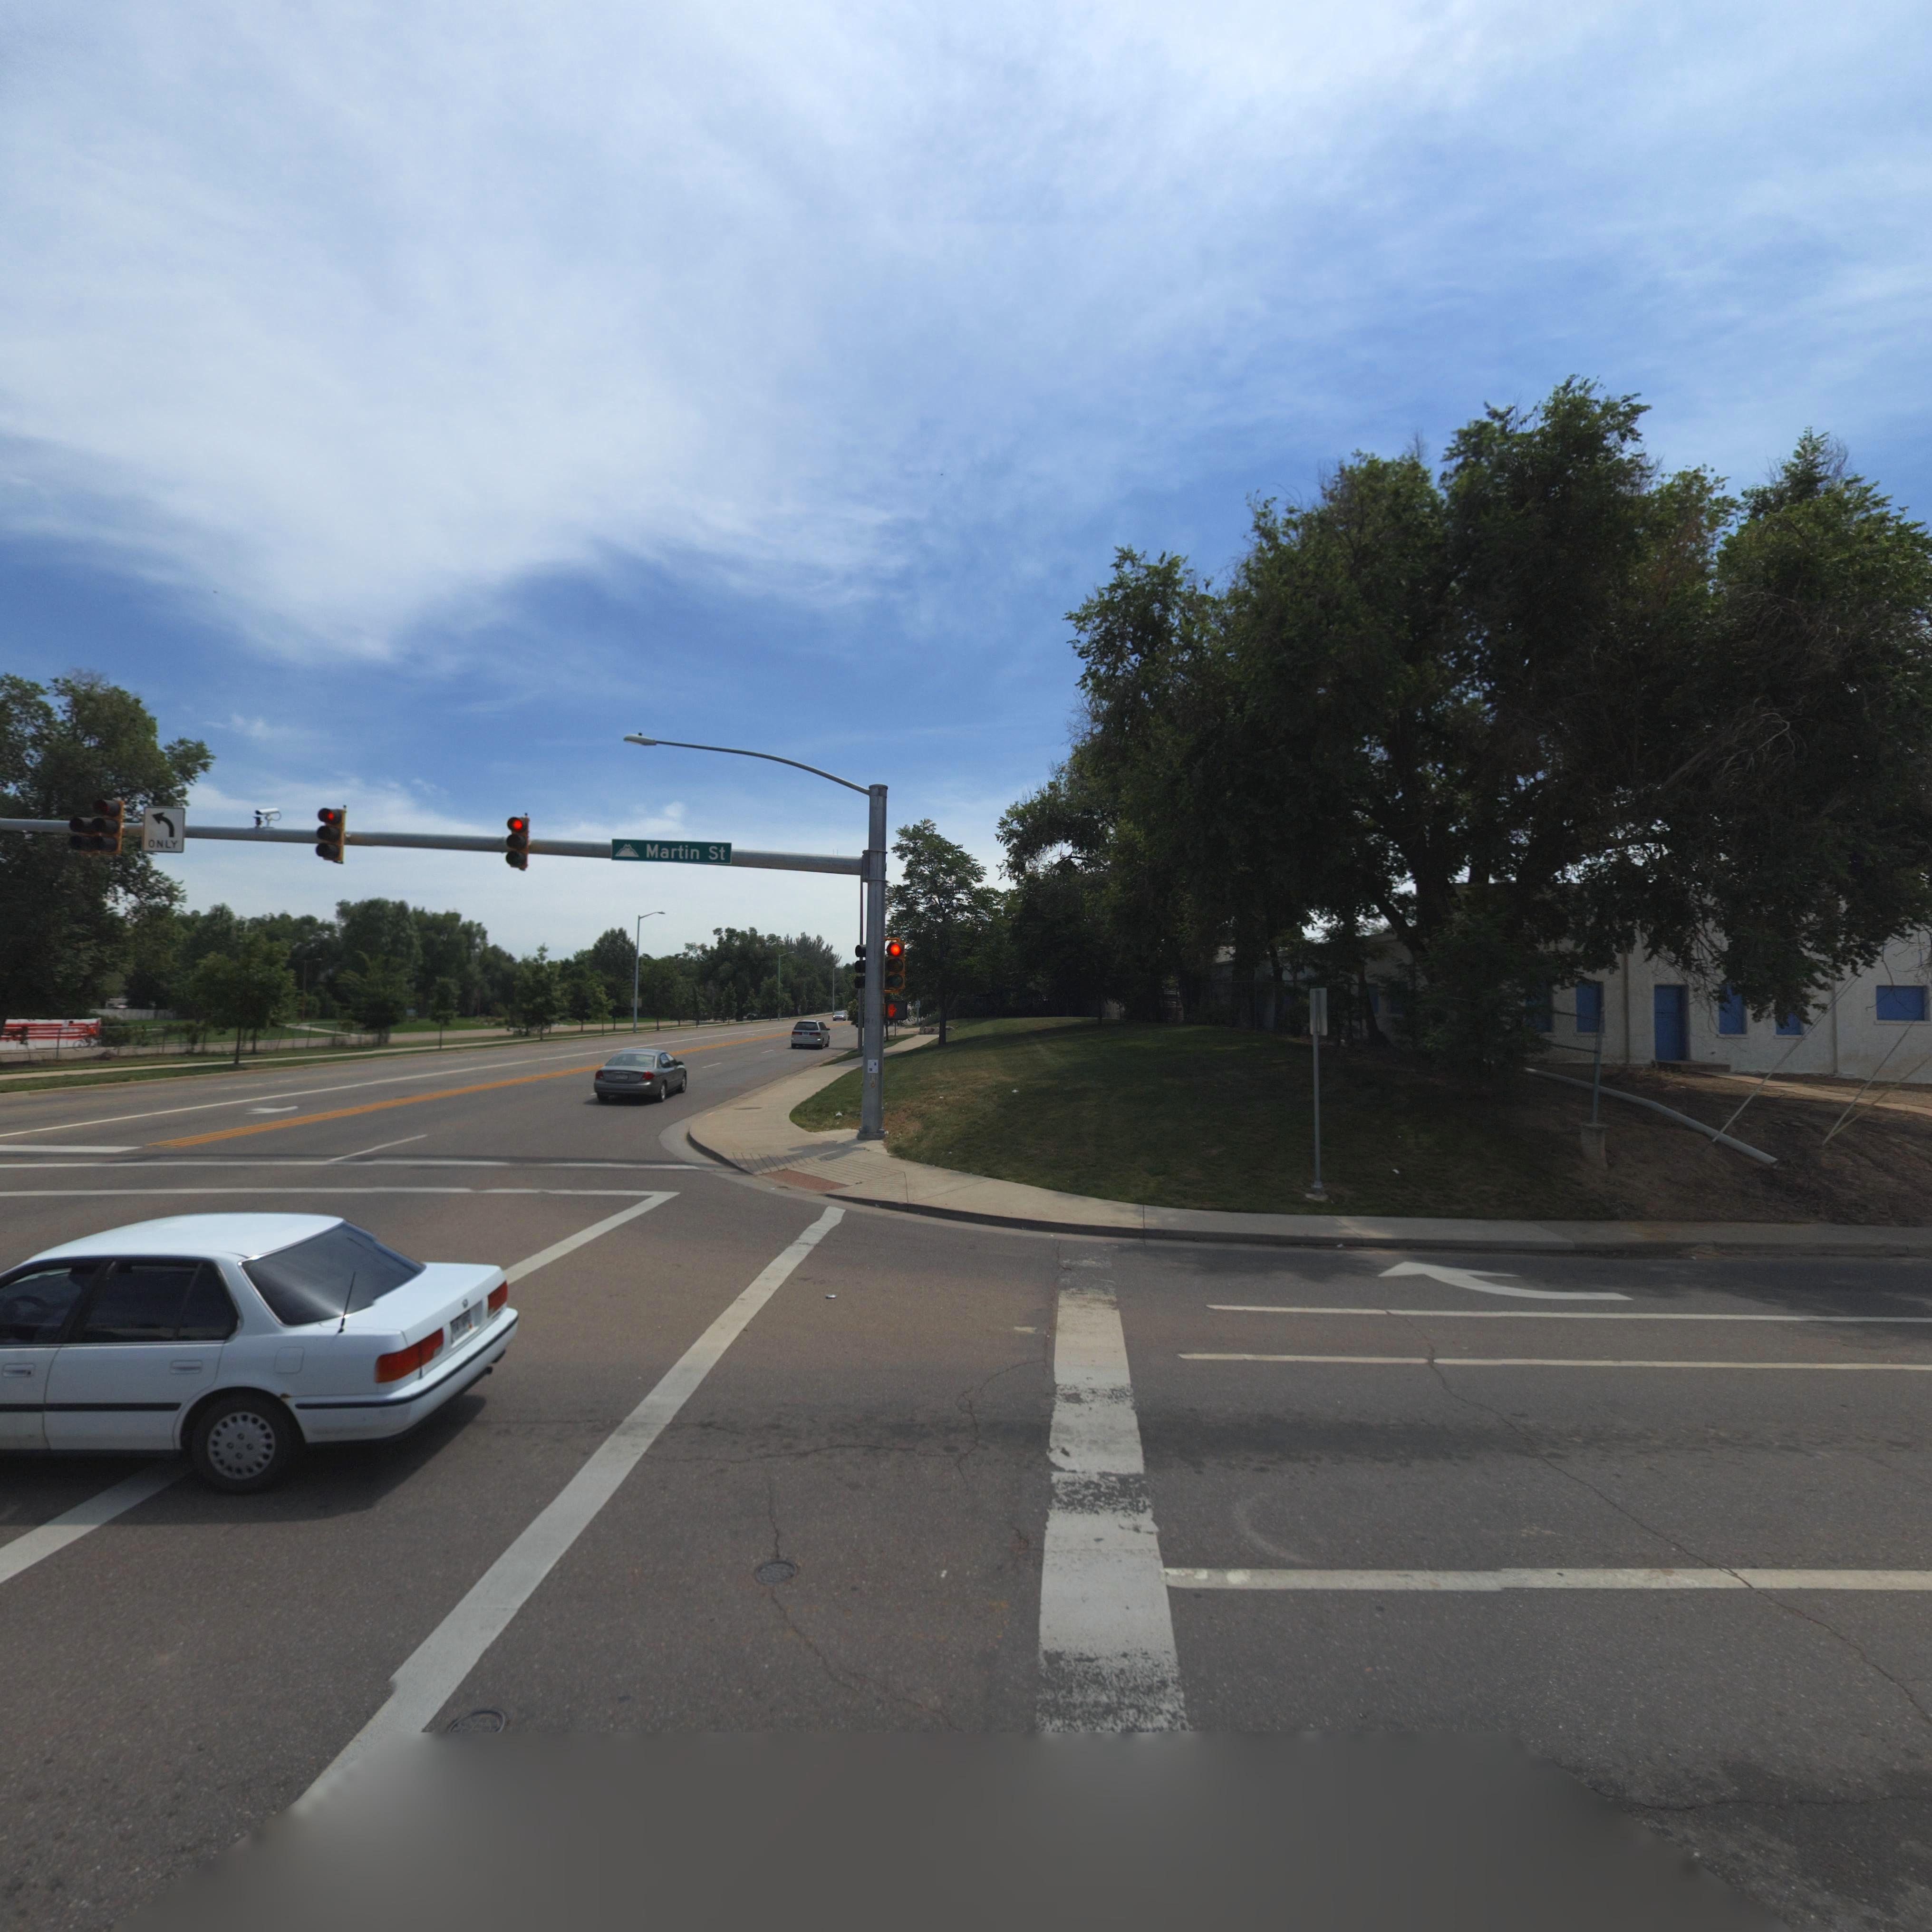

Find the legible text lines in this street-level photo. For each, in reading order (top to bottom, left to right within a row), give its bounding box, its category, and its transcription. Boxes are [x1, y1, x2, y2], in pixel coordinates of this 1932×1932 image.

[647, 844, 724, 860] StreetName: Martin St